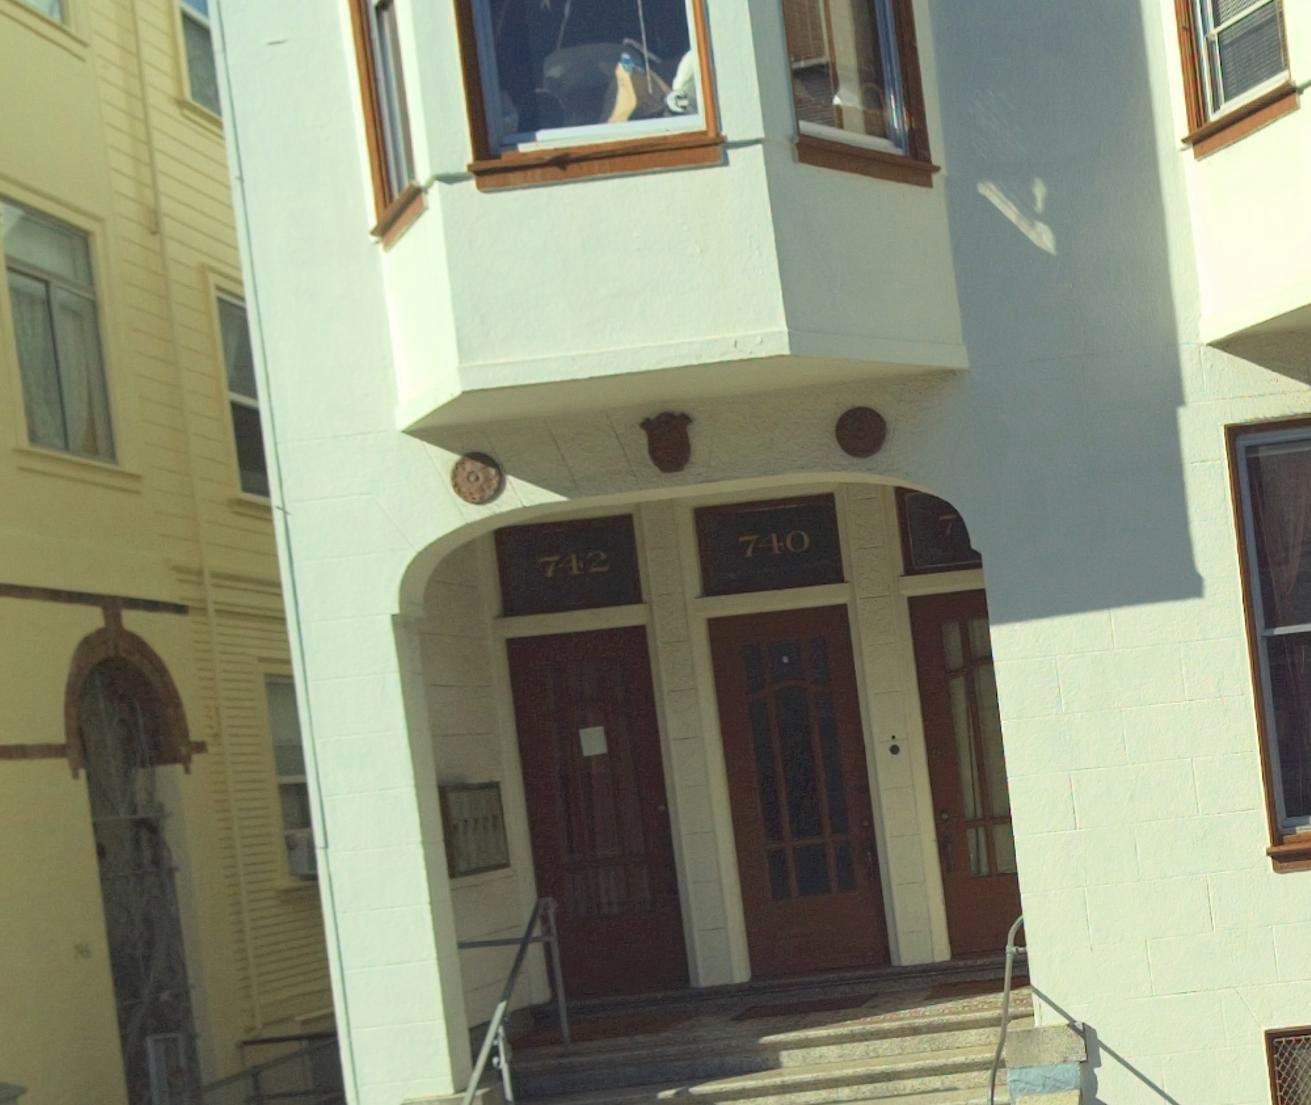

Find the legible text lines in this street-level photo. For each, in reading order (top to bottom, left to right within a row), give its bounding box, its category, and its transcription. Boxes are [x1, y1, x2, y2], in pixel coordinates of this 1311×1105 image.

[937, 511, 959, 537] StreetNumber: 7
[736, 527, 811, 560] StreetNumber: 740
[537, 546, 613, 580] StreetNumber: 742